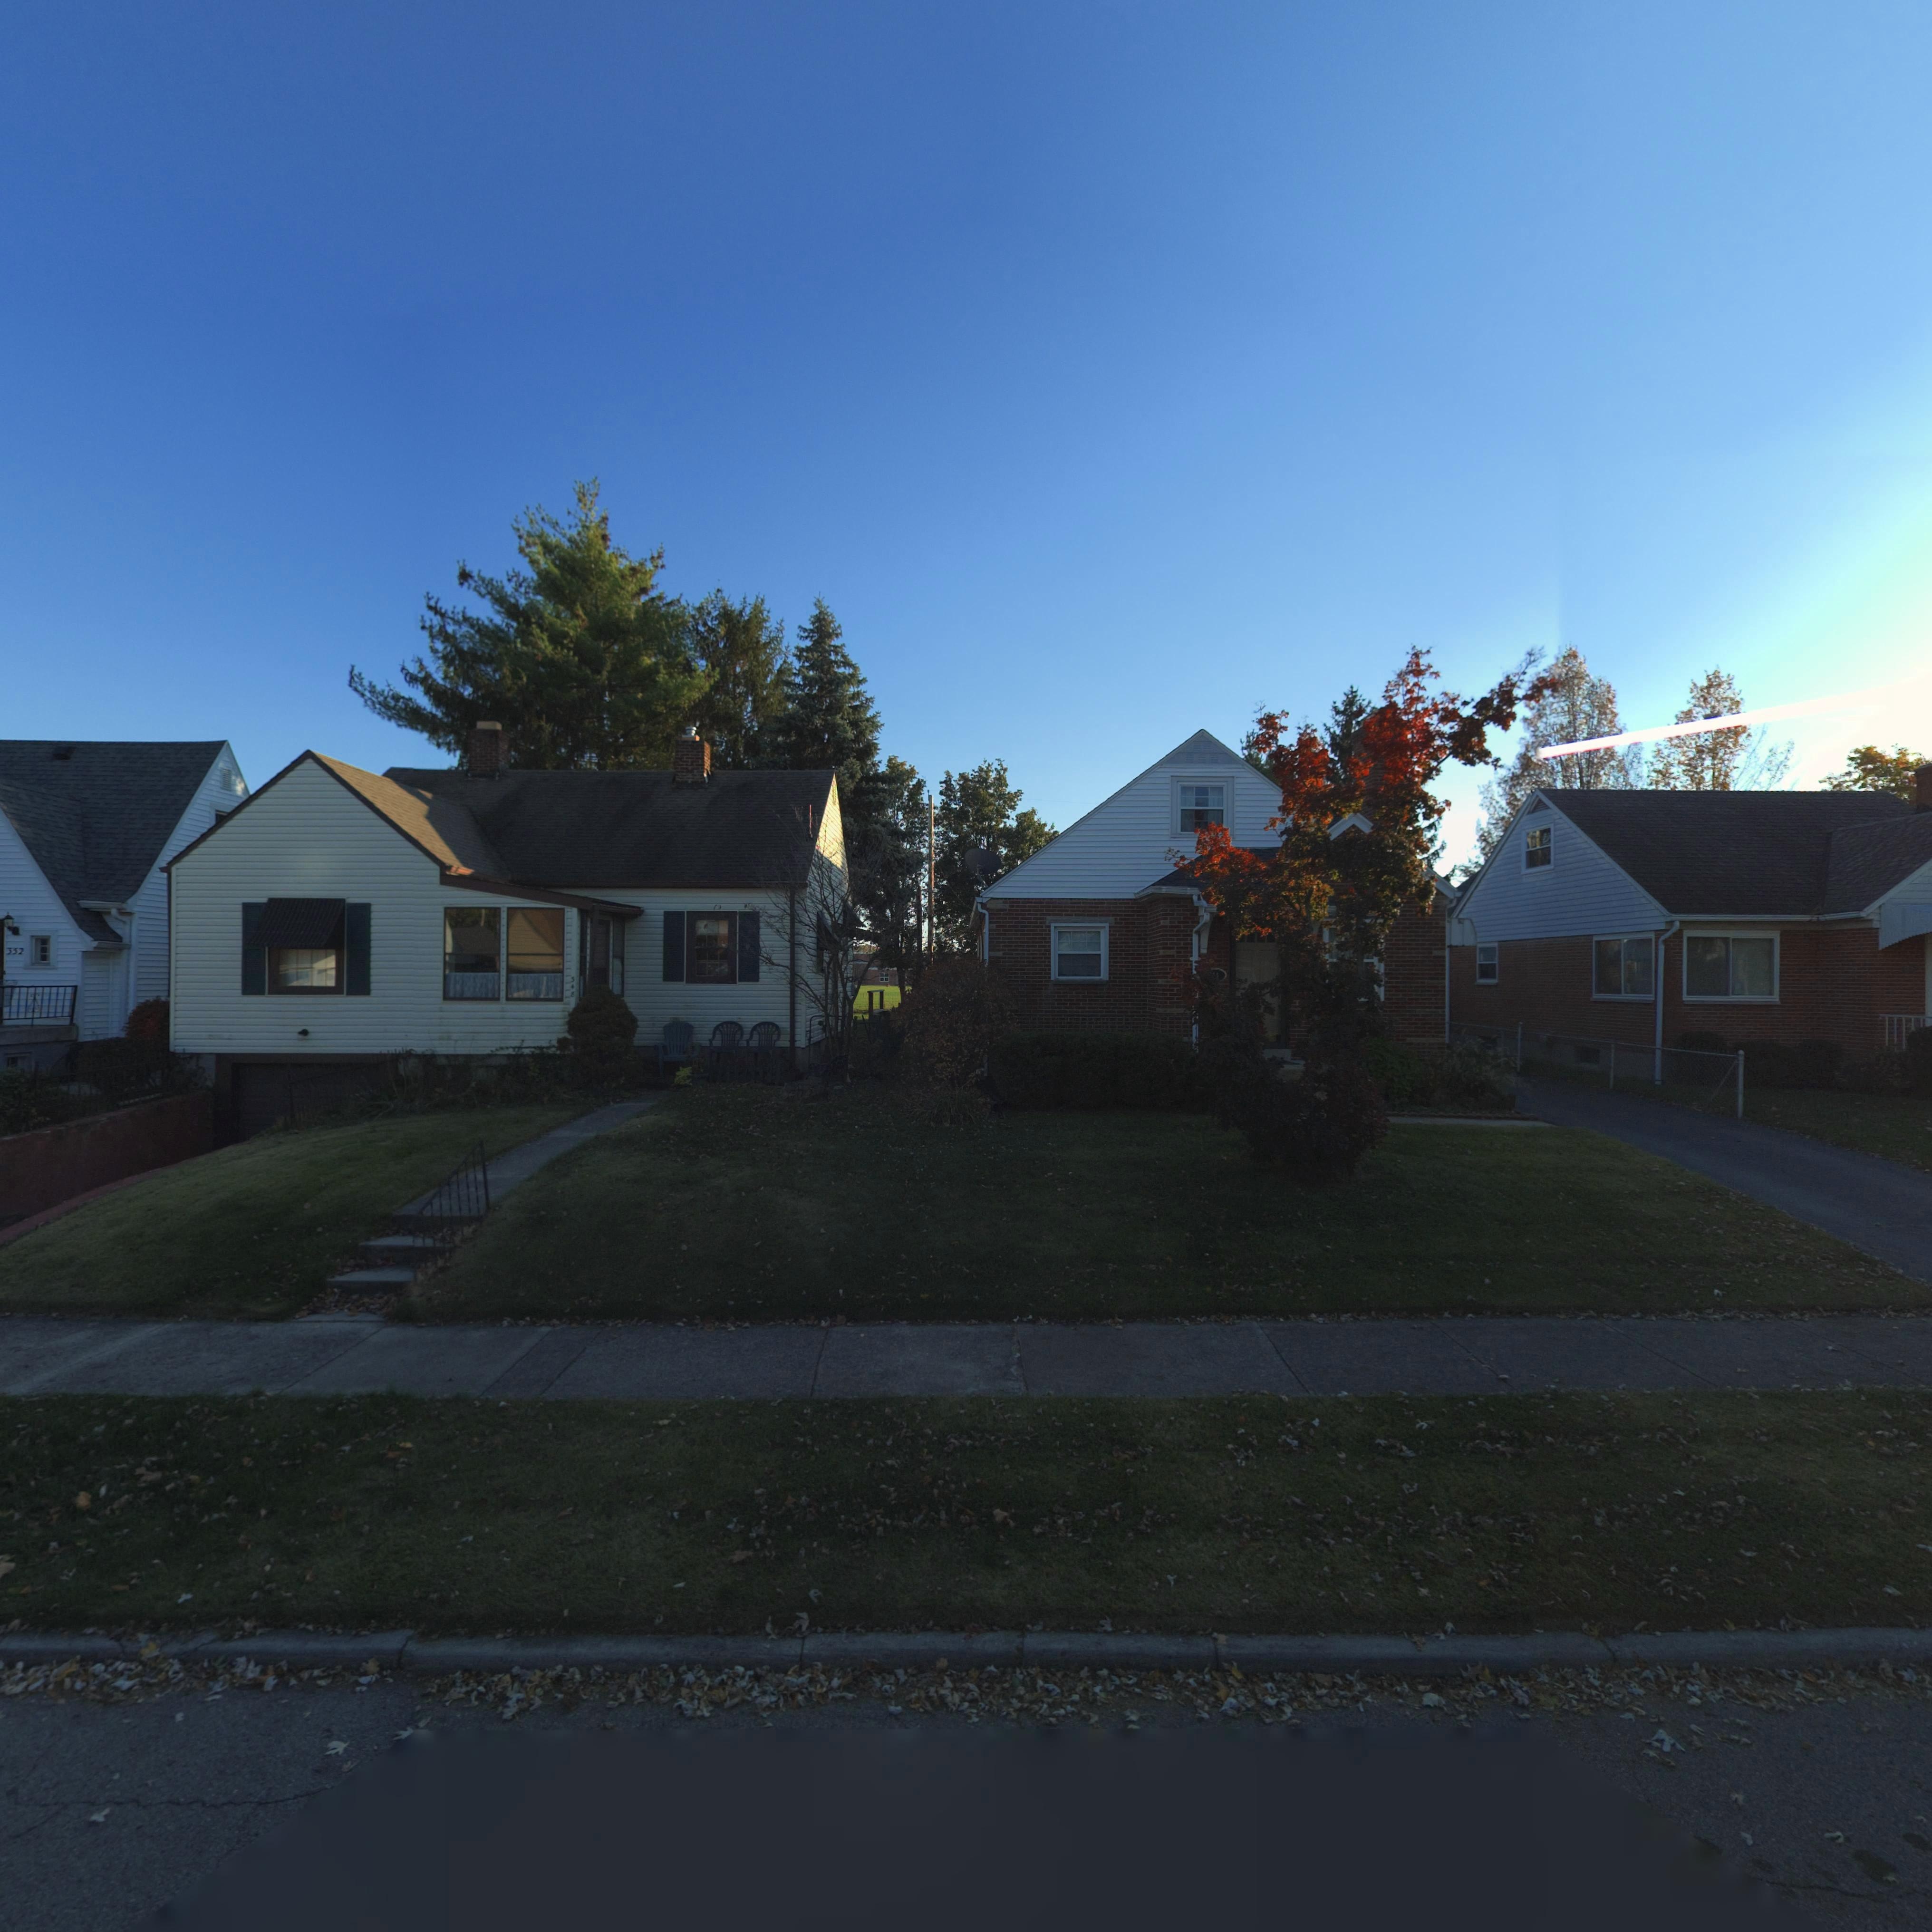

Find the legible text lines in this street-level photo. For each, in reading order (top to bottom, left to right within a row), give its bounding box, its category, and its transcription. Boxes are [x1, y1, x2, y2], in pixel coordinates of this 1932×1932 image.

[570, 975, 576, 999] StreetNumber: 348